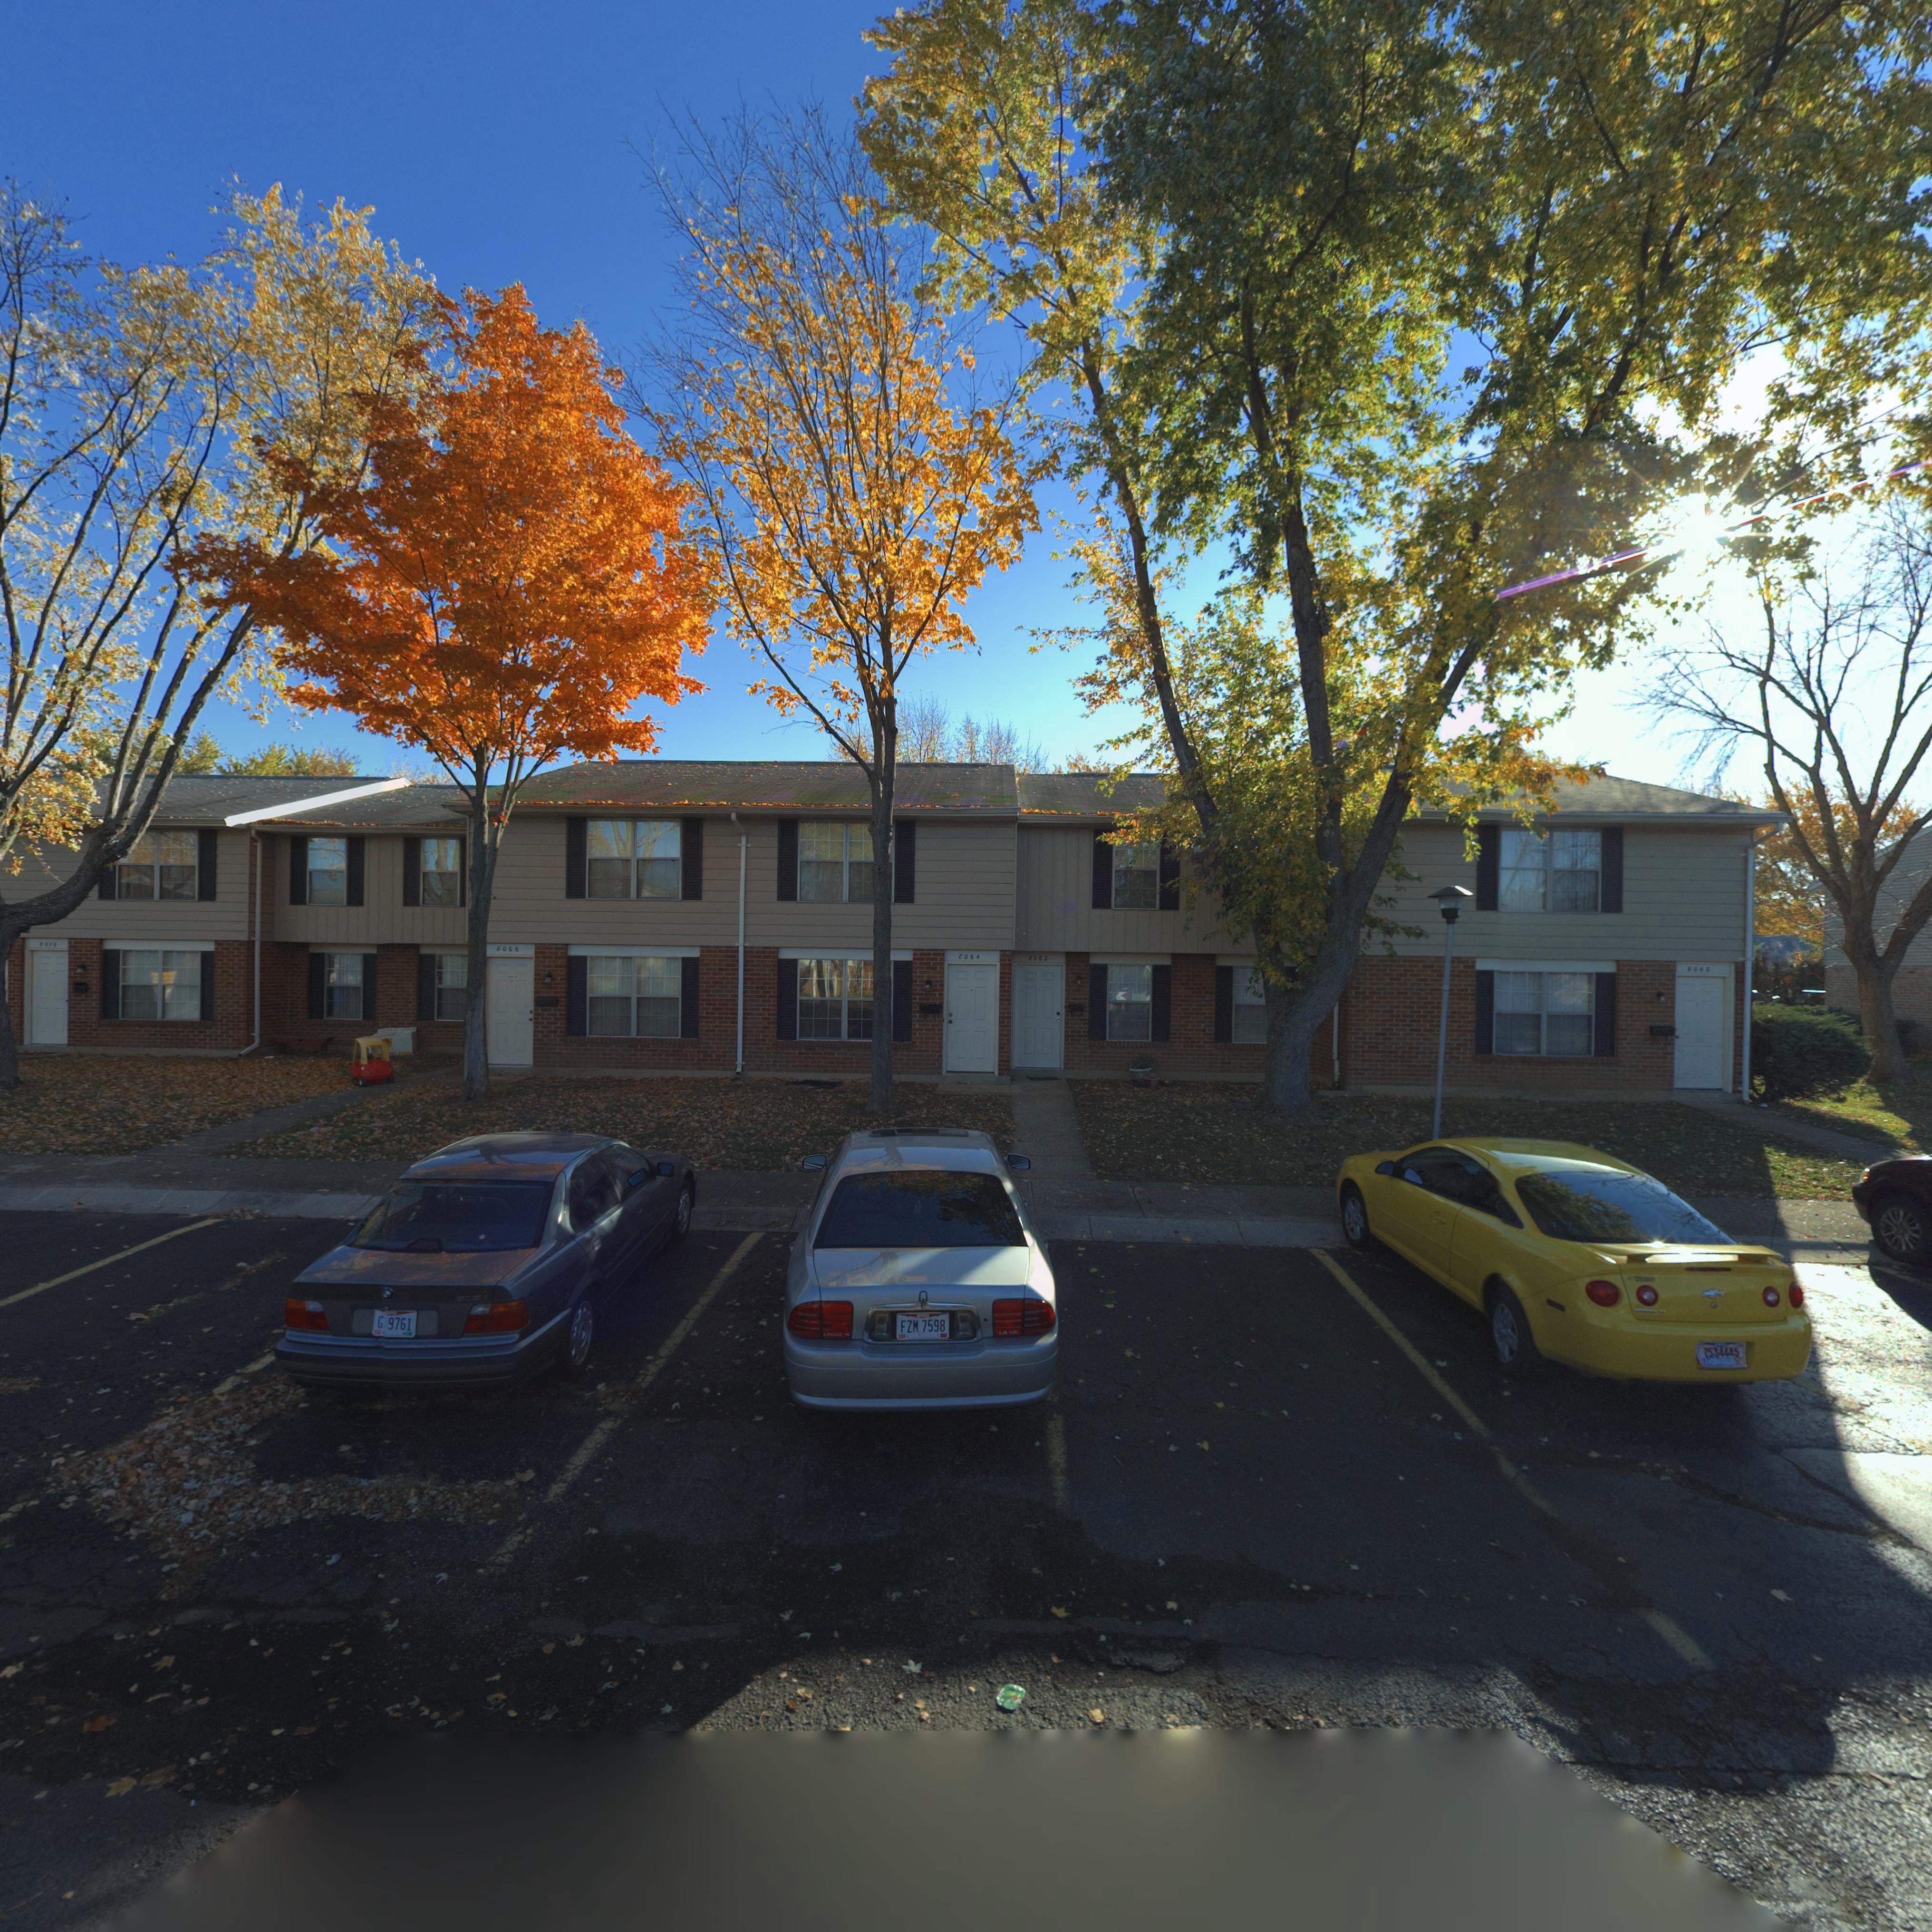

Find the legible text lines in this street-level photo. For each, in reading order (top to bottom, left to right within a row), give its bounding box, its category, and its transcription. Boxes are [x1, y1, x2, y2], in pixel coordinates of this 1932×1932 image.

[39, 941, 58, 947] StreetNumber: 8070
[496, 945, 519, 952] StreetNumber: 8066
[958, 953, 980, 960] StreetNumber: 8064
[1028, 955, 1048, 961] StreetNumber: 8062
[1686, 966, 1711, 972] StreetNumber: 8060